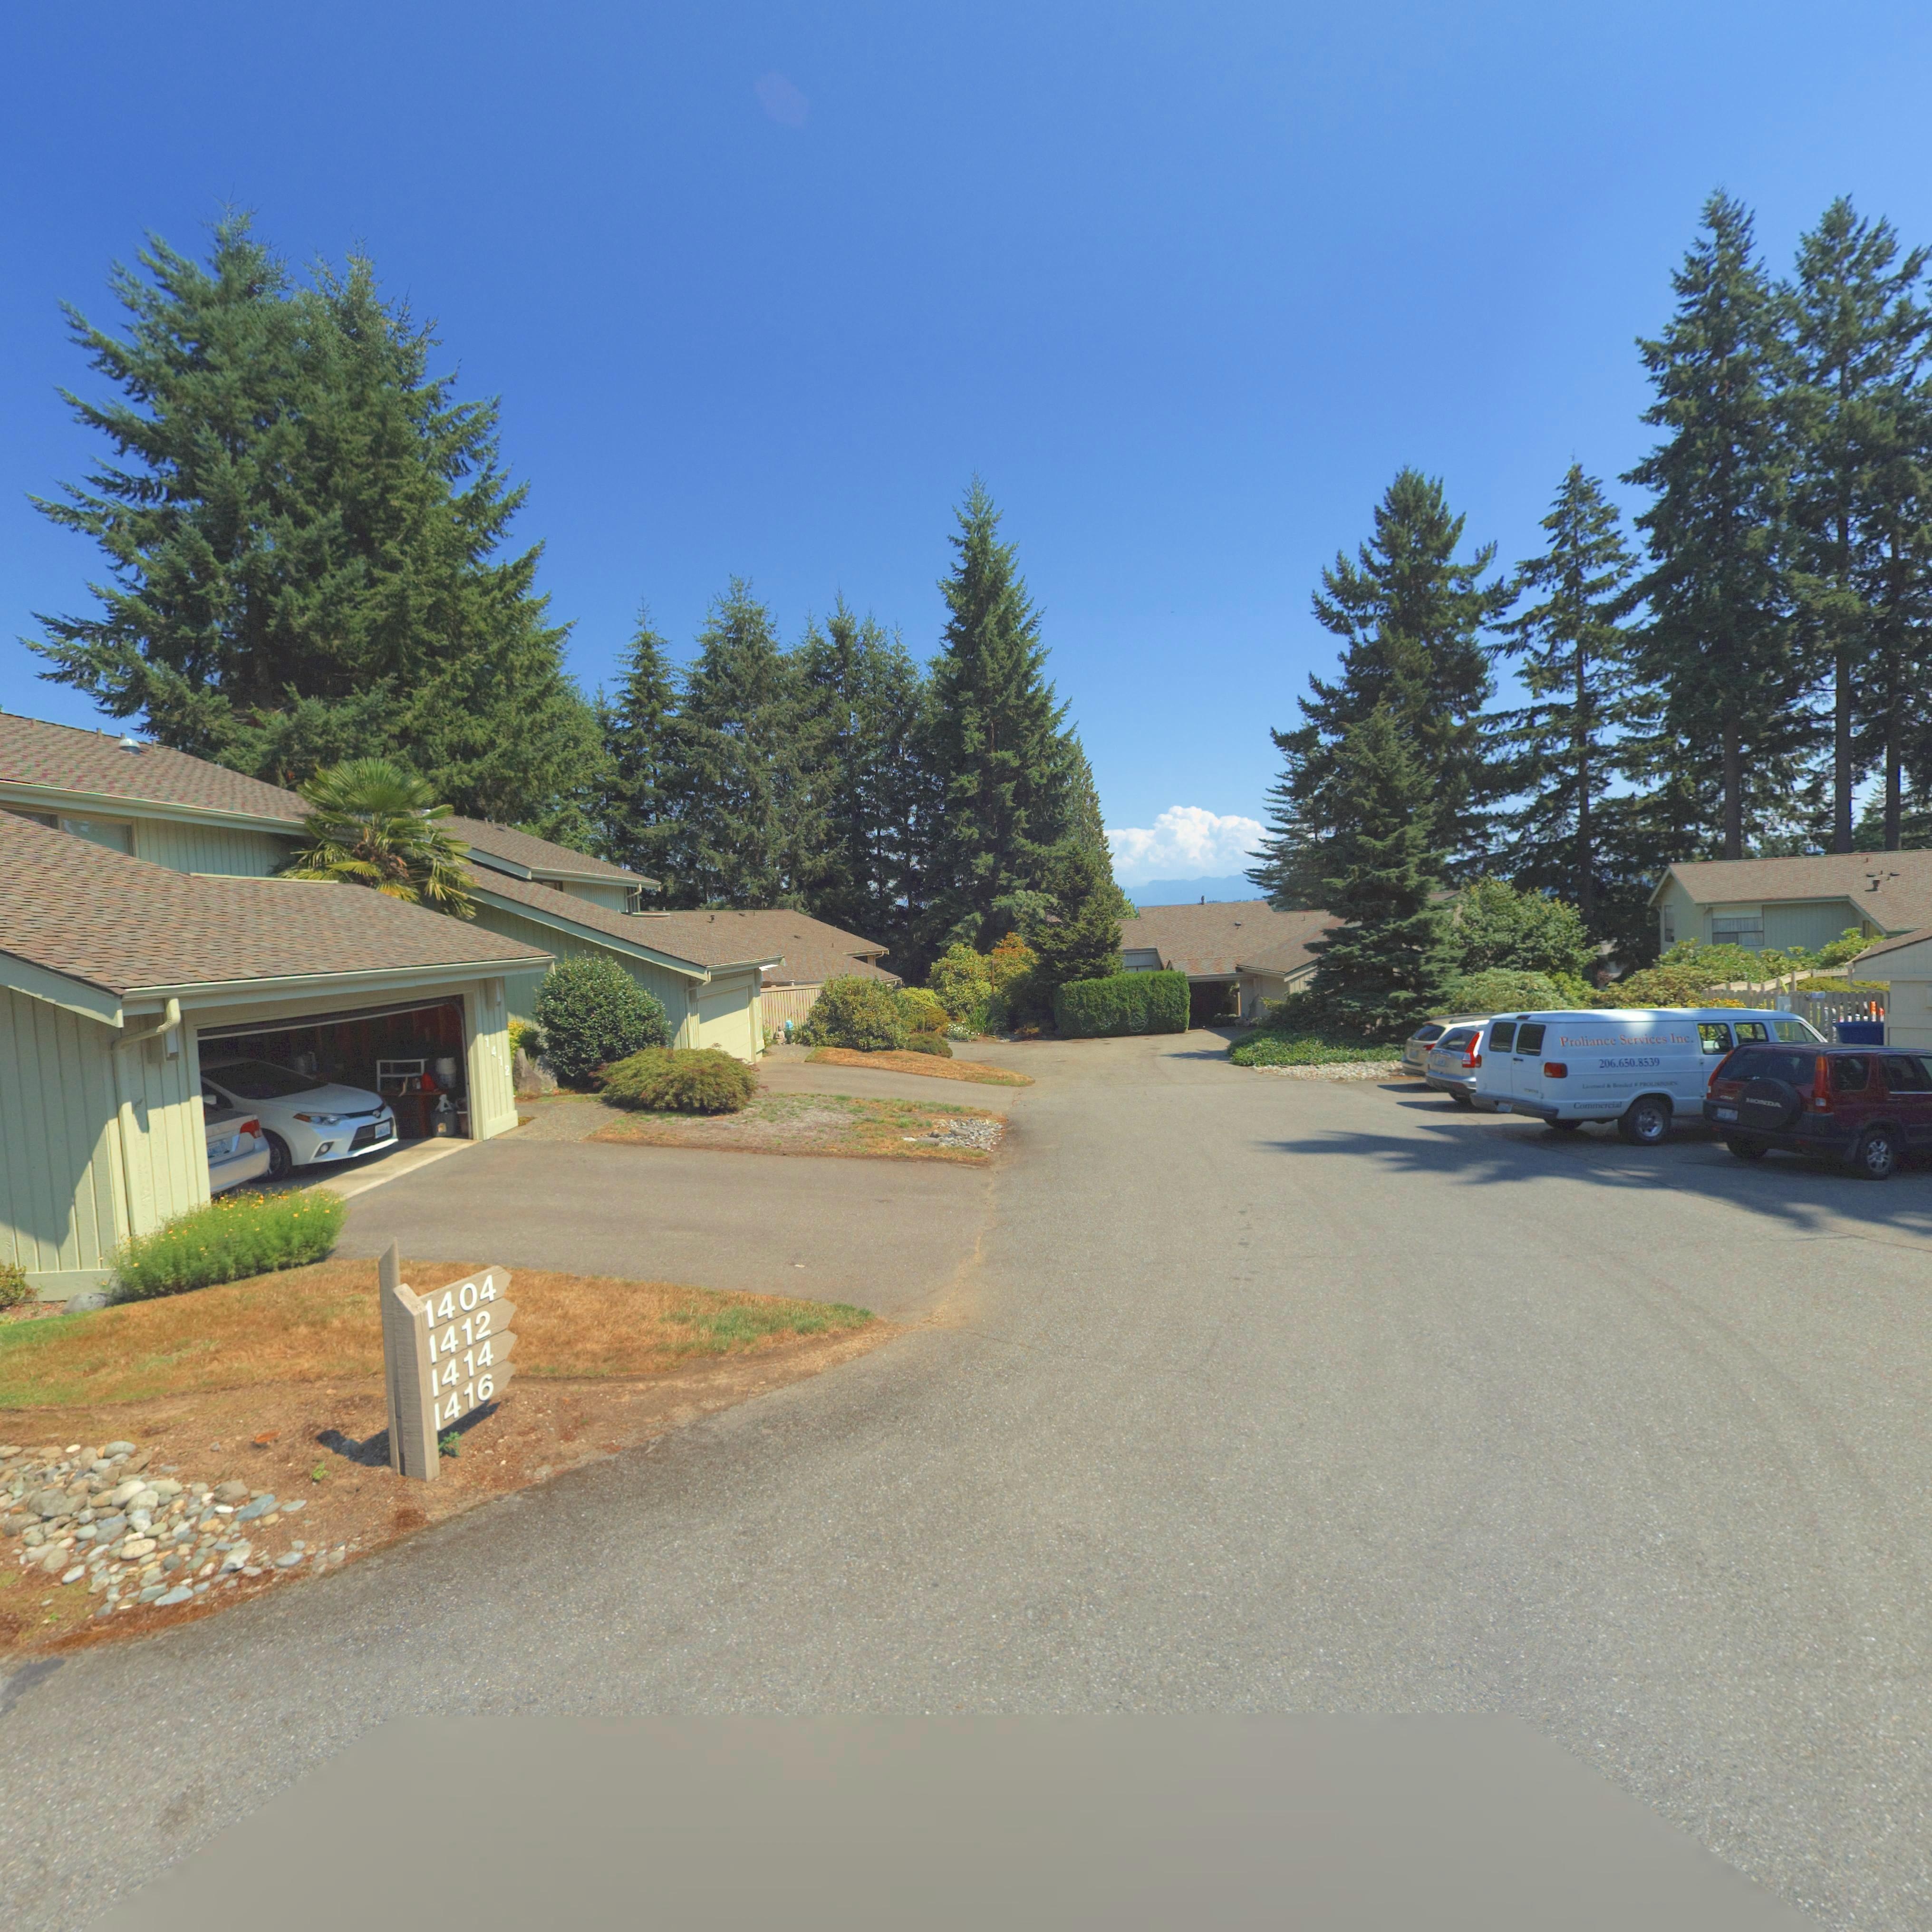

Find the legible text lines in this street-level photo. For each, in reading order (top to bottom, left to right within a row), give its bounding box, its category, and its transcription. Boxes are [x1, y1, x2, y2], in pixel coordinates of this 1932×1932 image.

[423, 1273, 498, 1330] StreetNumber: 1404
[429, 1306, 493, 1367] StreetNumber: 1412
[430, 1338, 496, 1393] StreetNumber: *414